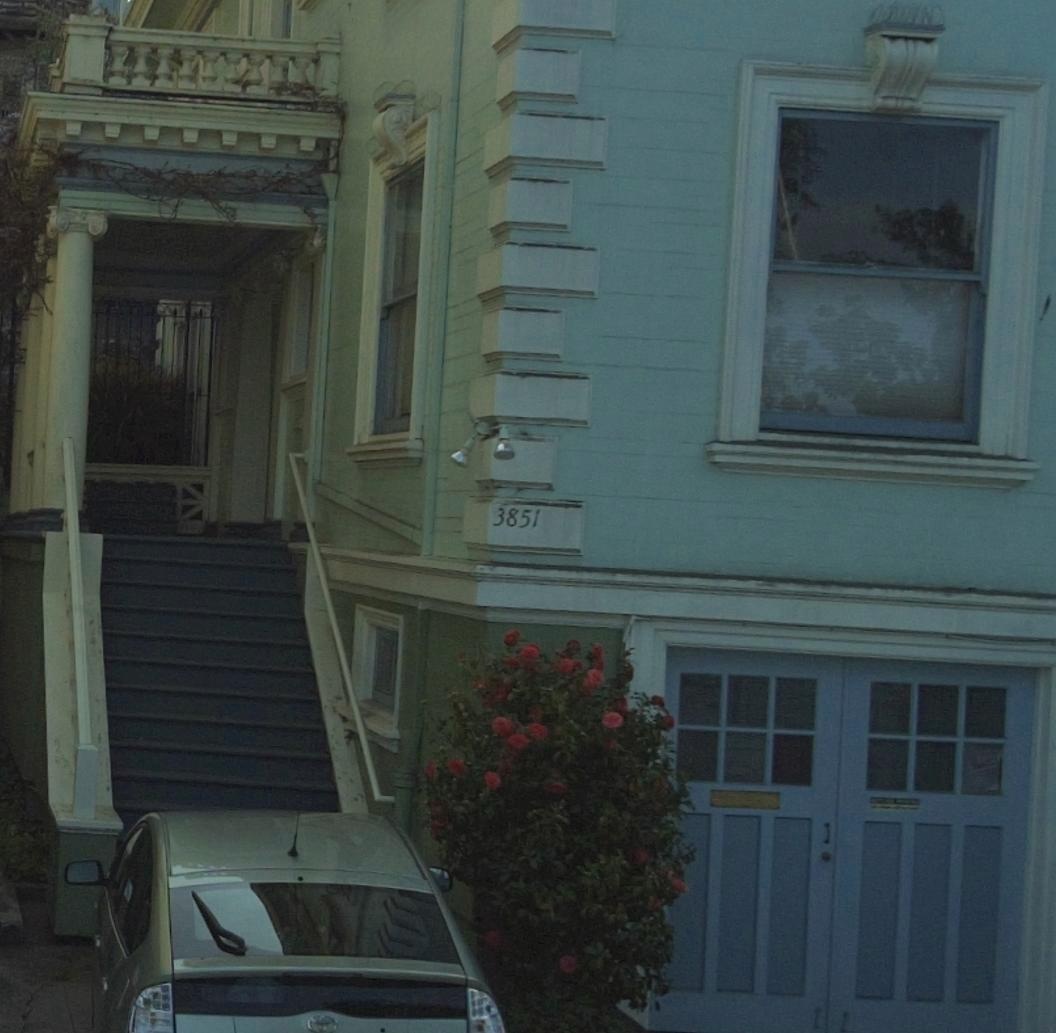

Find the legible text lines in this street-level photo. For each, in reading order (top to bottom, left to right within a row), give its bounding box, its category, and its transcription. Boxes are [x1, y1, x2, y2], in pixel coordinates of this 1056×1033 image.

[491, 507, 542, 529] StreetNumber: 3851